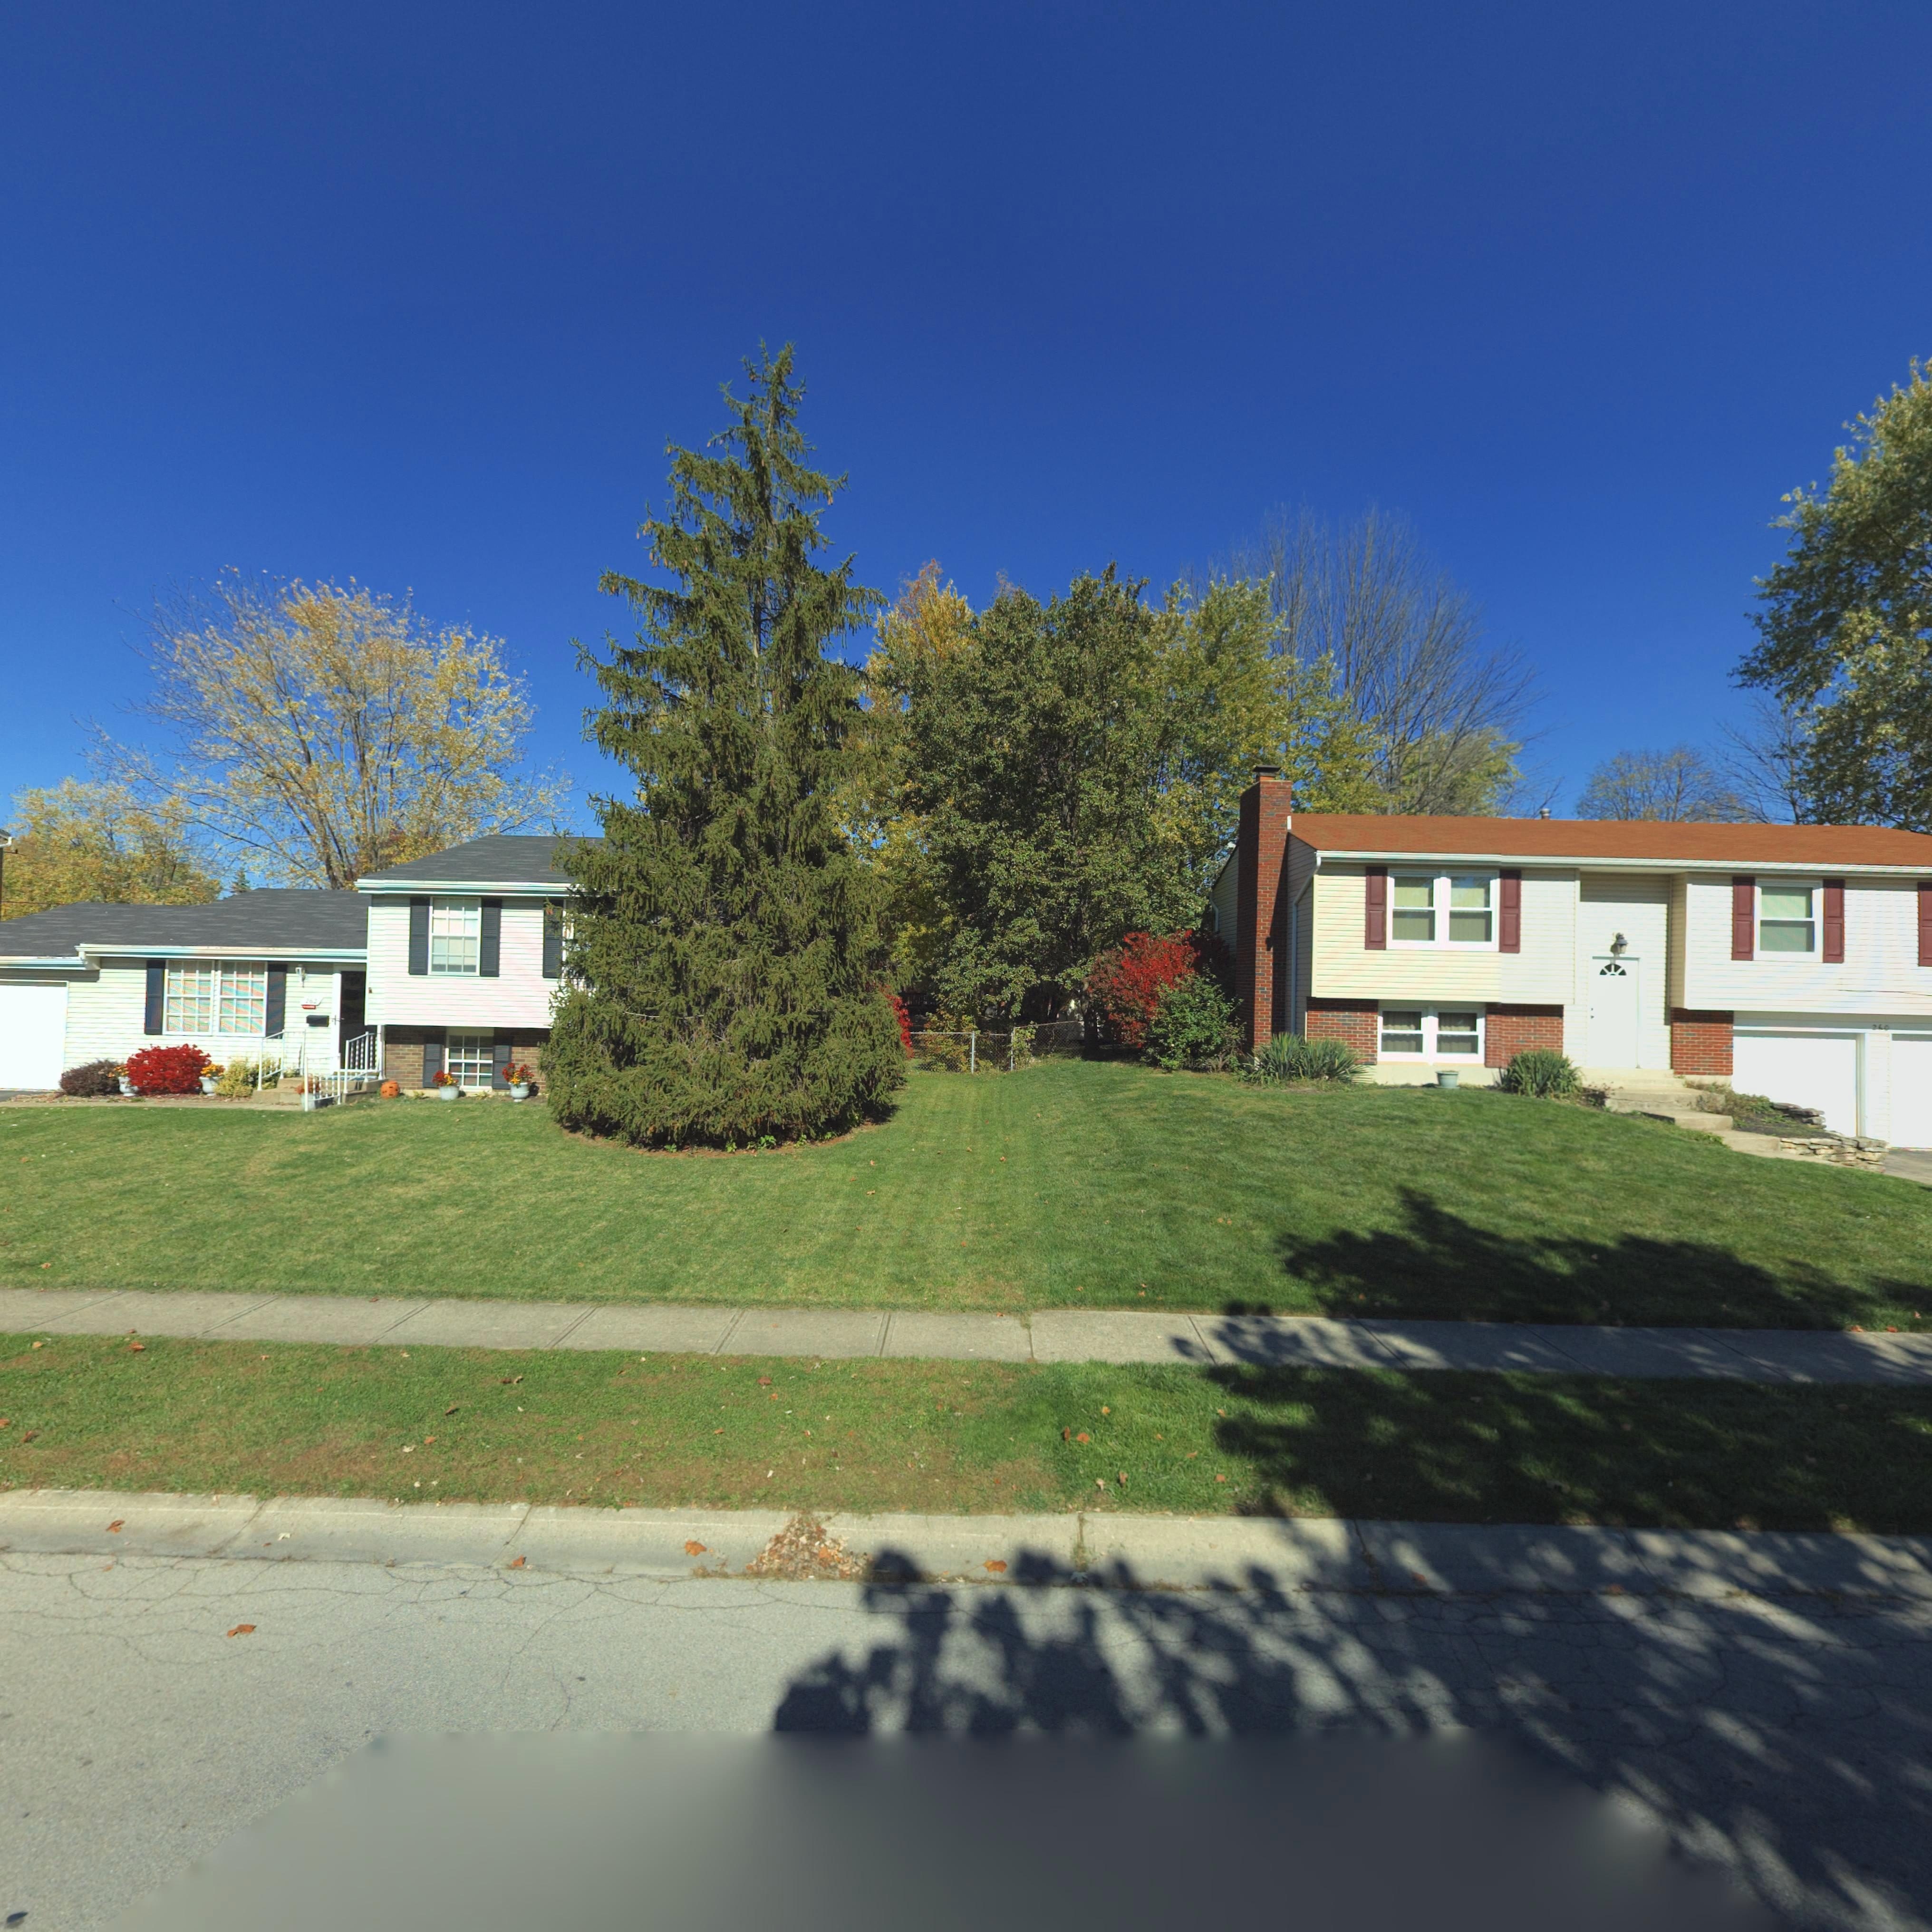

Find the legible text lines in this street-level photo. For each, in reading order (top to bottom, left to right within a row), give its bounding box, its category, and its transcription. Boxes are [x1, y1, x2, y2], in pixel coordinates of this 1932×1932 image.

[304, 997, 318, 1005] StreetNumber: 262
[1870, 1023, 1890, 1032] StreetNumber: 260